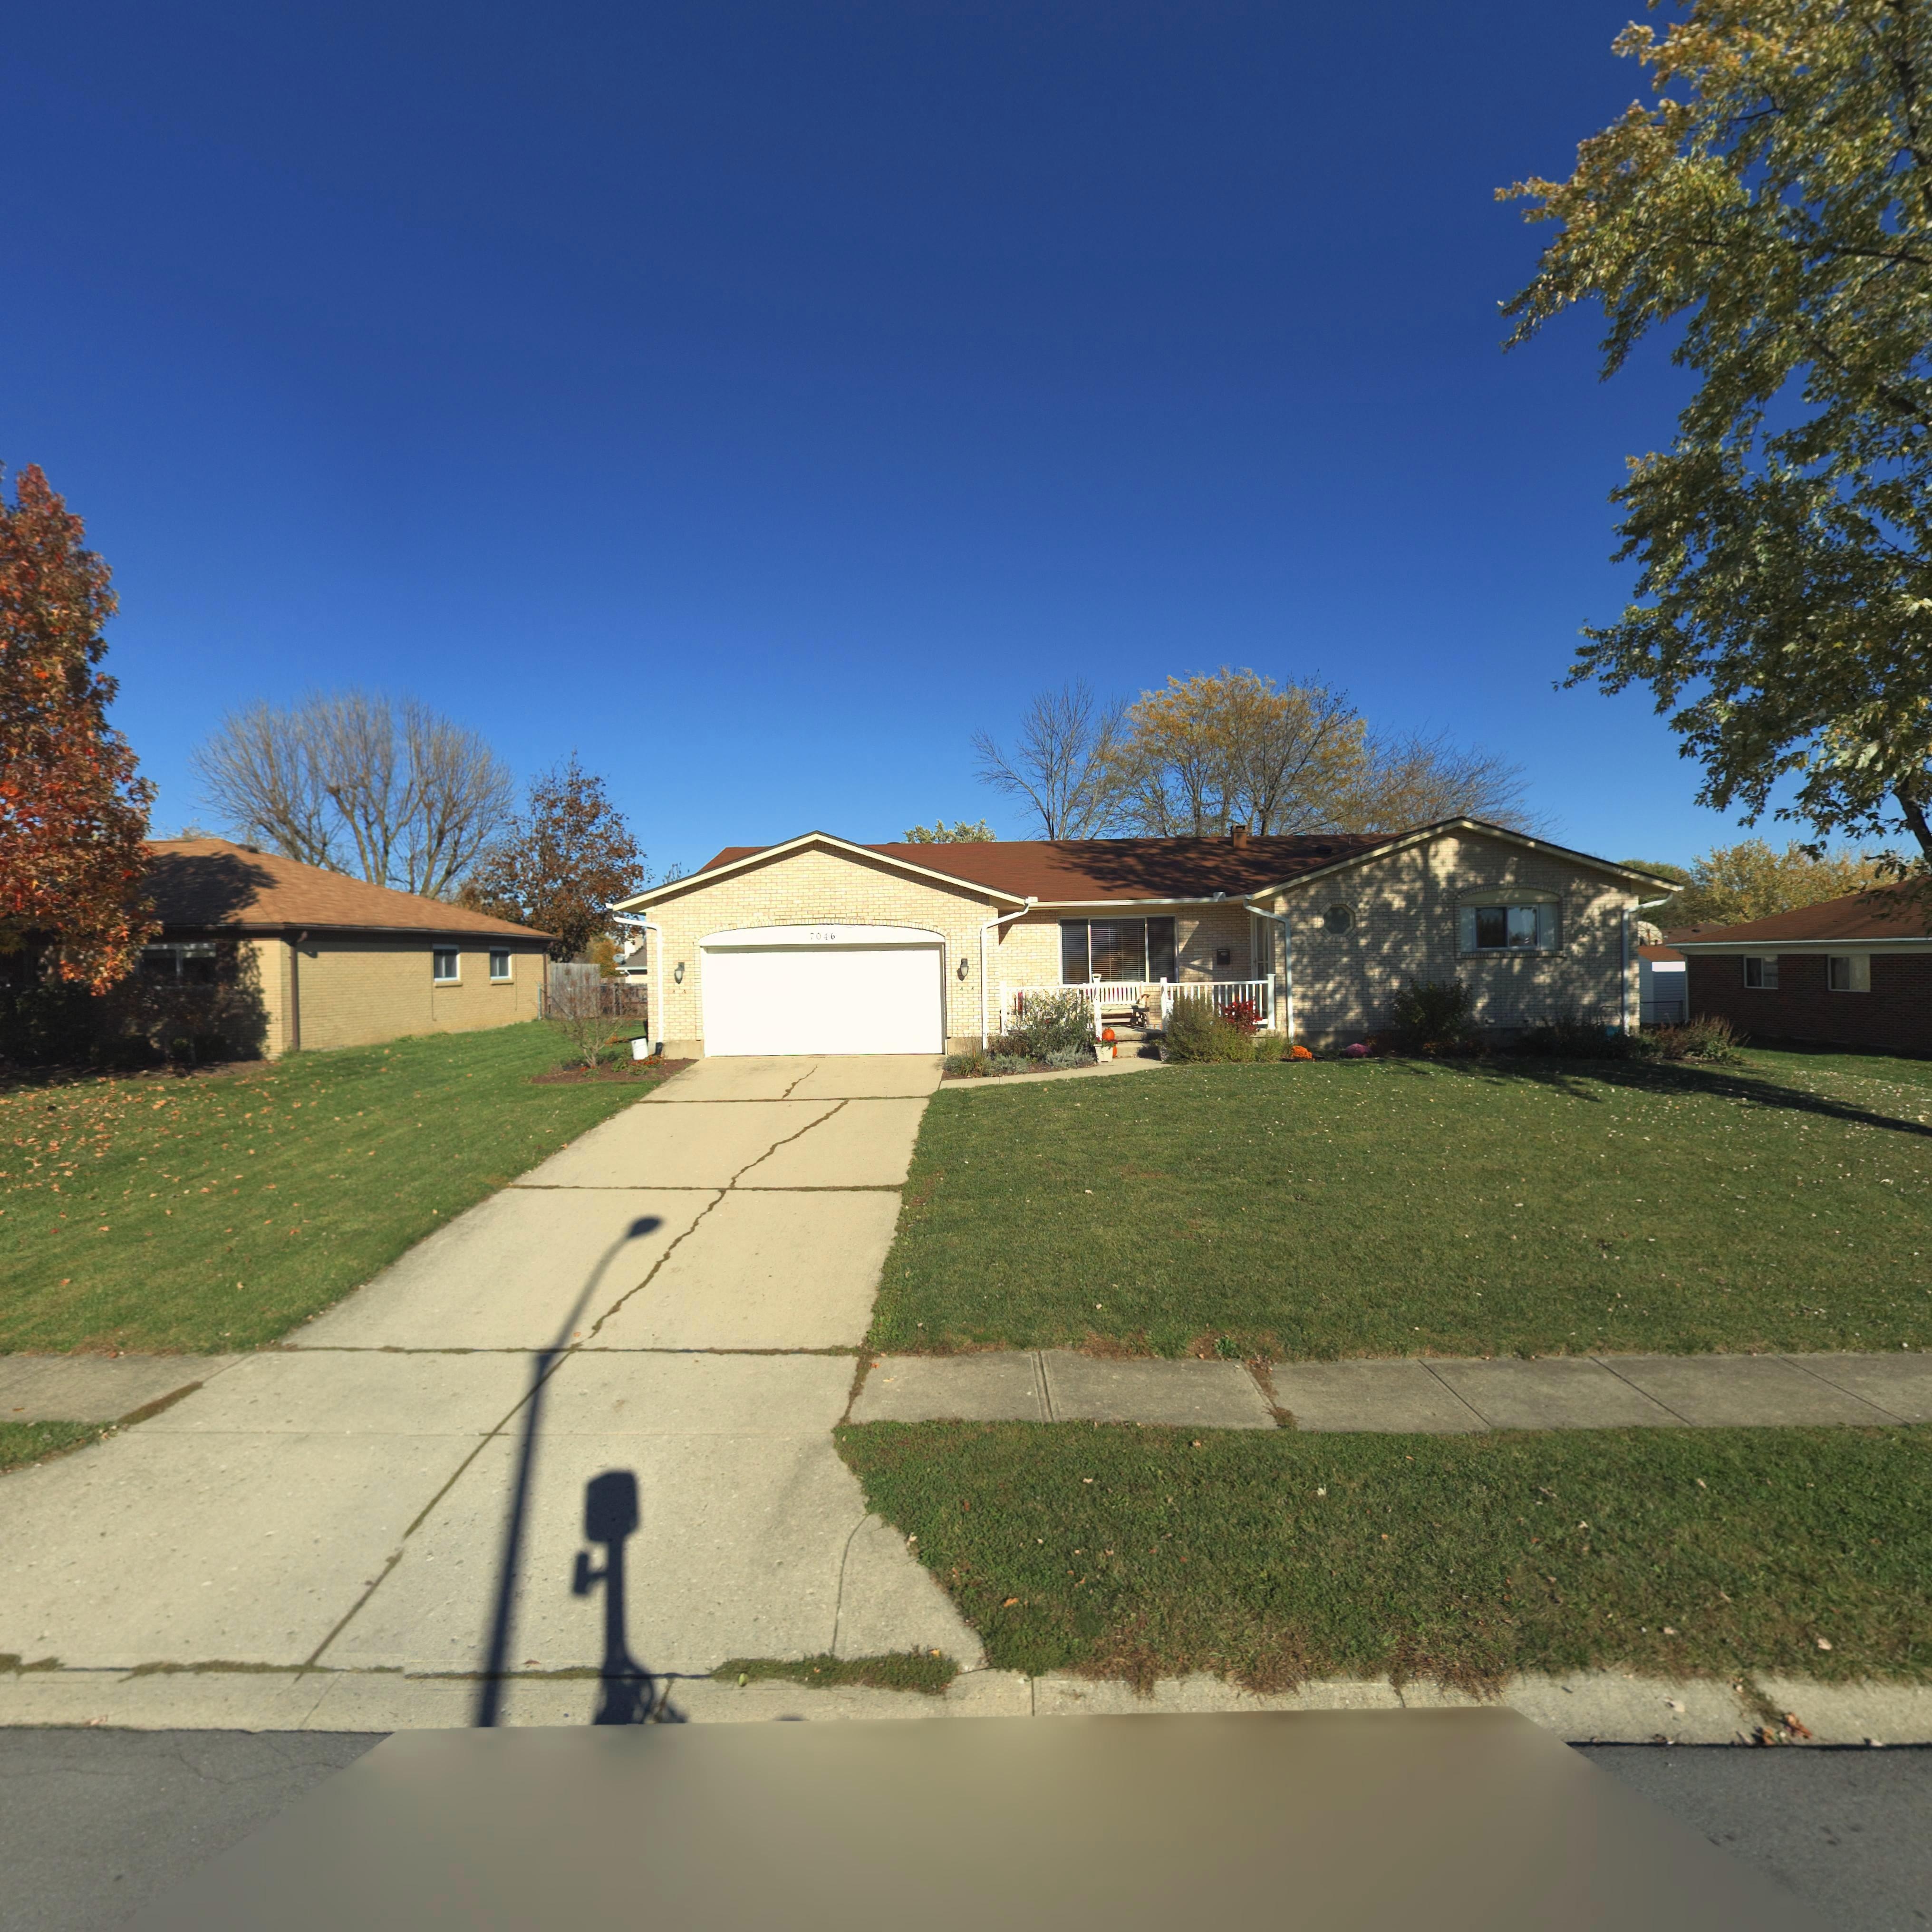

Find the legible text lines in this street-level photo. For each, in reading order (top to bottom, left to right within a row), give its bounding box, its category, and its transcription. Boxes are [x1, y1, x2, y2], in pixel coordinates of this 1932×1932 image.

[809, 932, 835, 940] StreetNumber: 7046